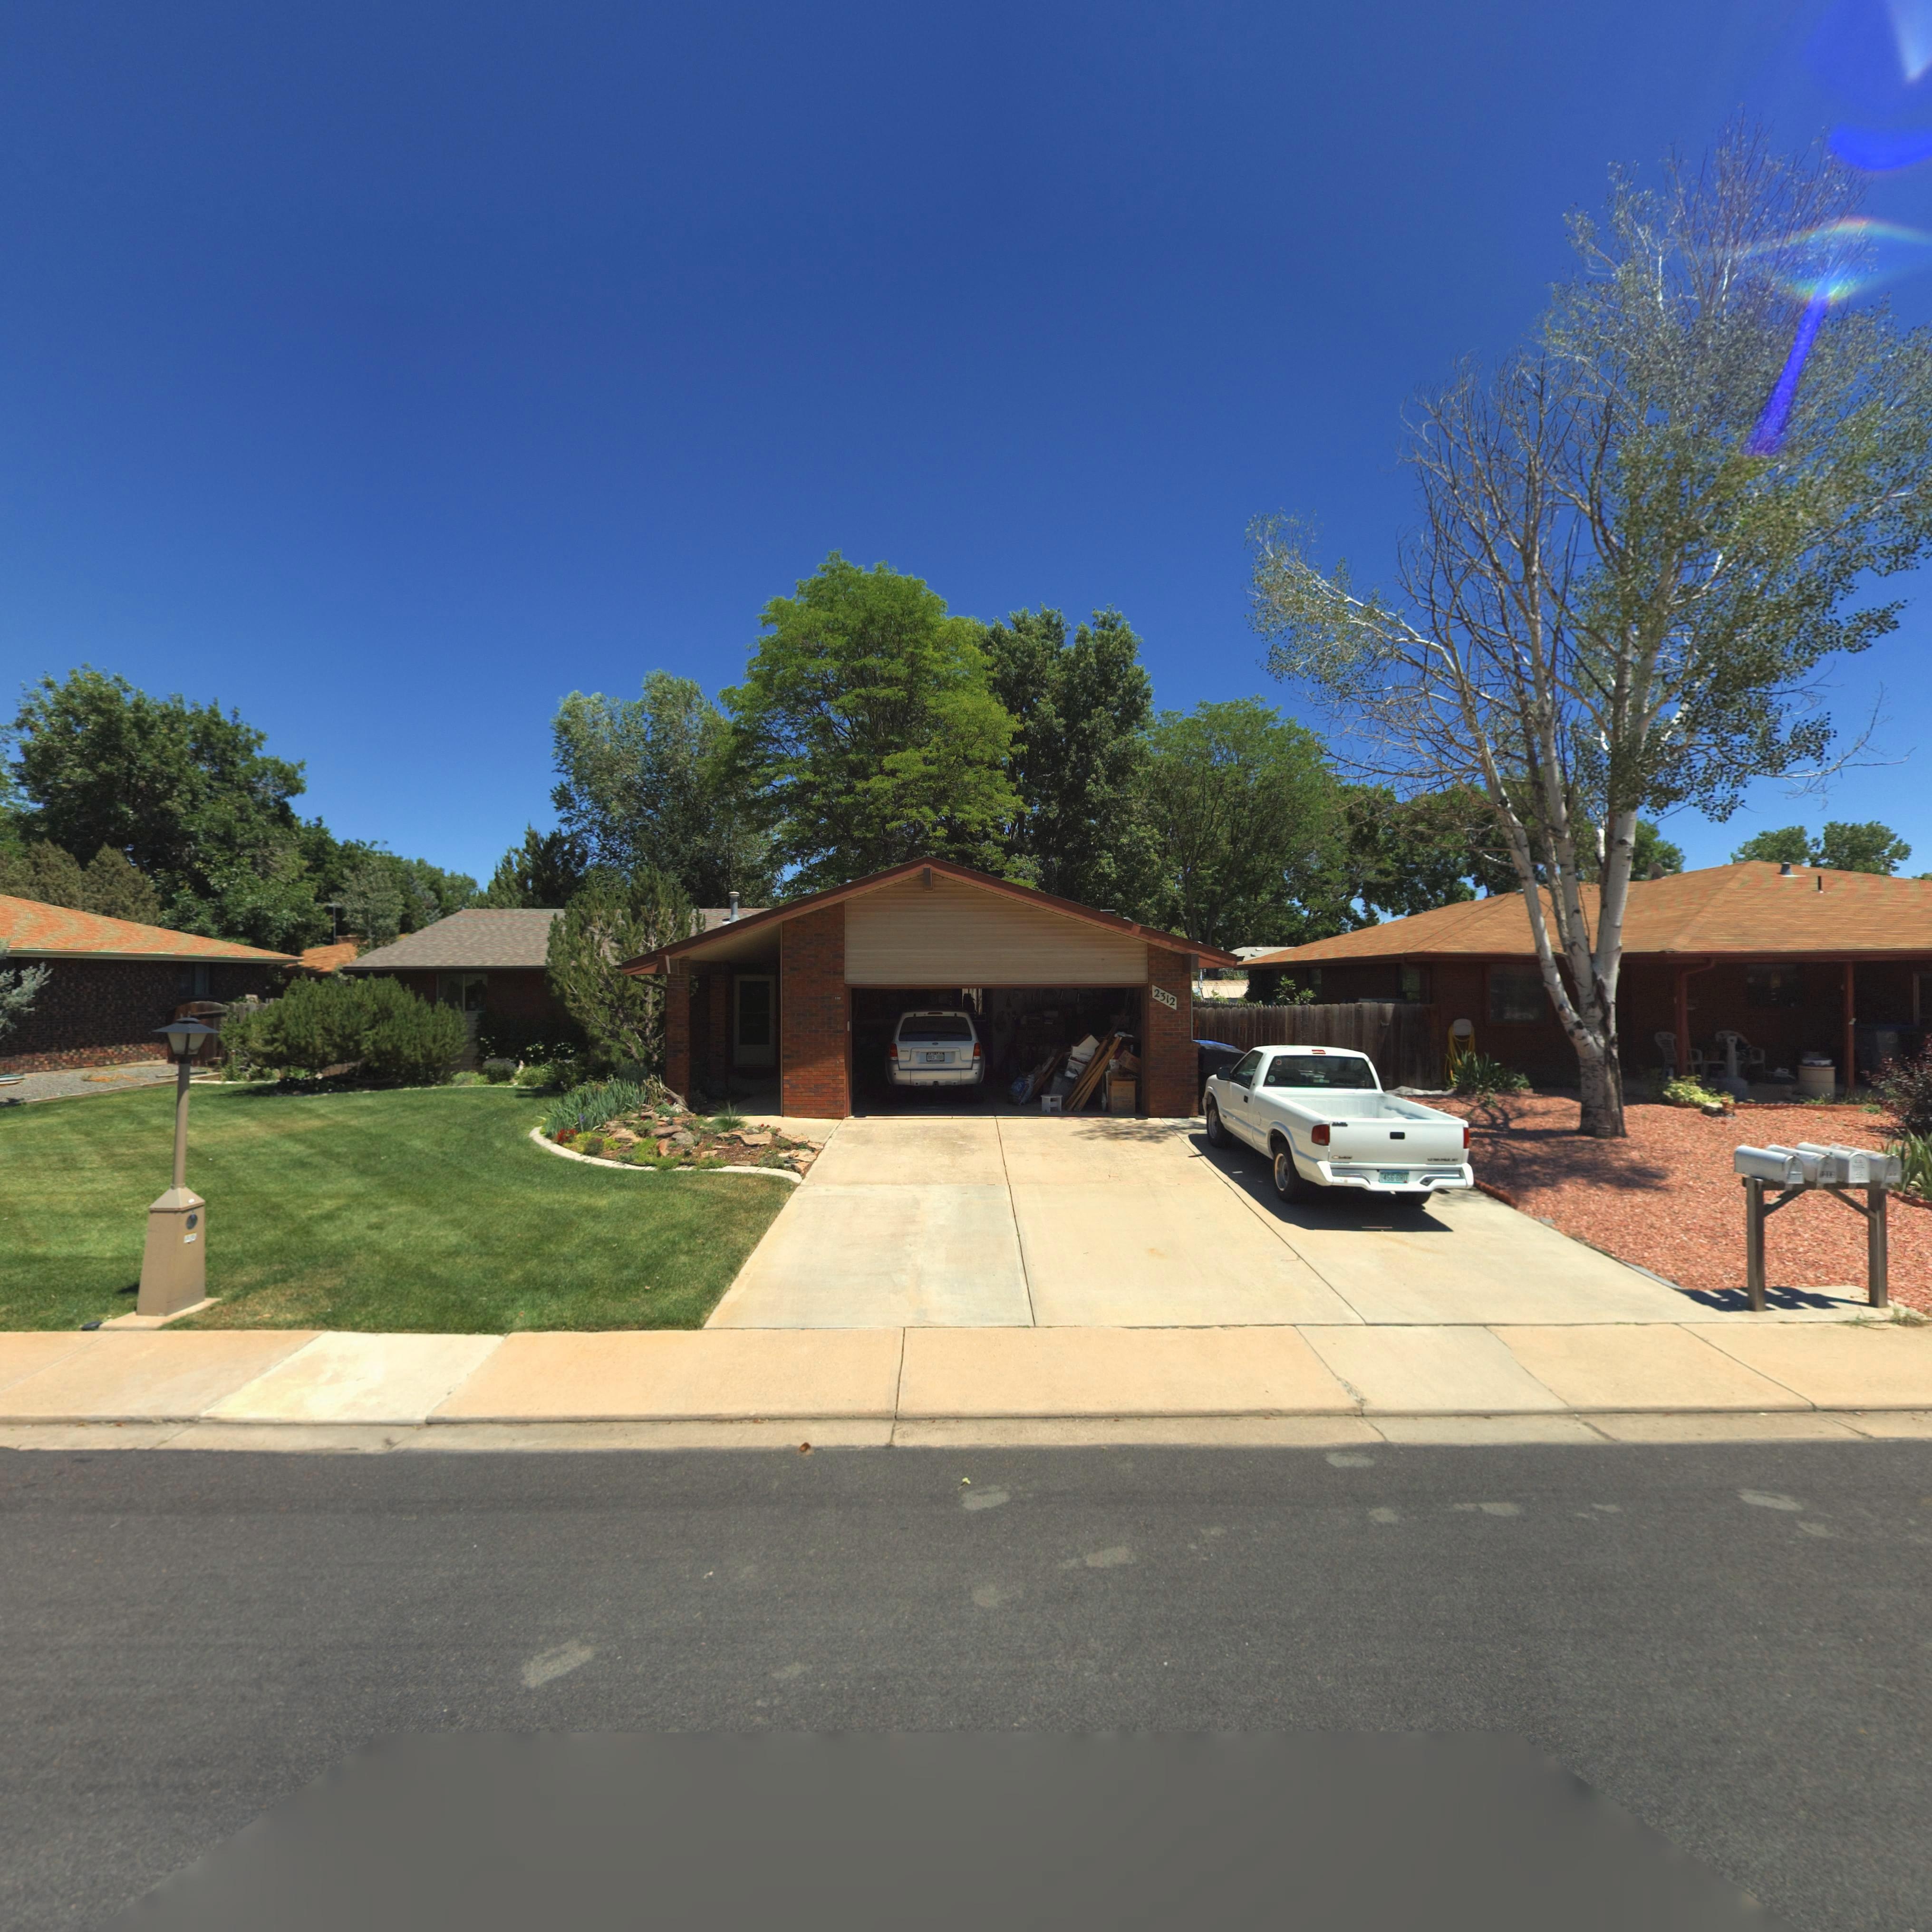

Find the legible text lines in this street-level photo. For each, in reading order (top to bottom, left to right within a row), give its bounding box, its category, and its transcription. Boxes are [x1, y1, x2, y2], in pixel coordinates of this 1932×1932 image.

[1153, 988, 1175, 1005] StreetNumber: 2312
[1820, 1170, 1835, 1178] StreetNumber: 2313